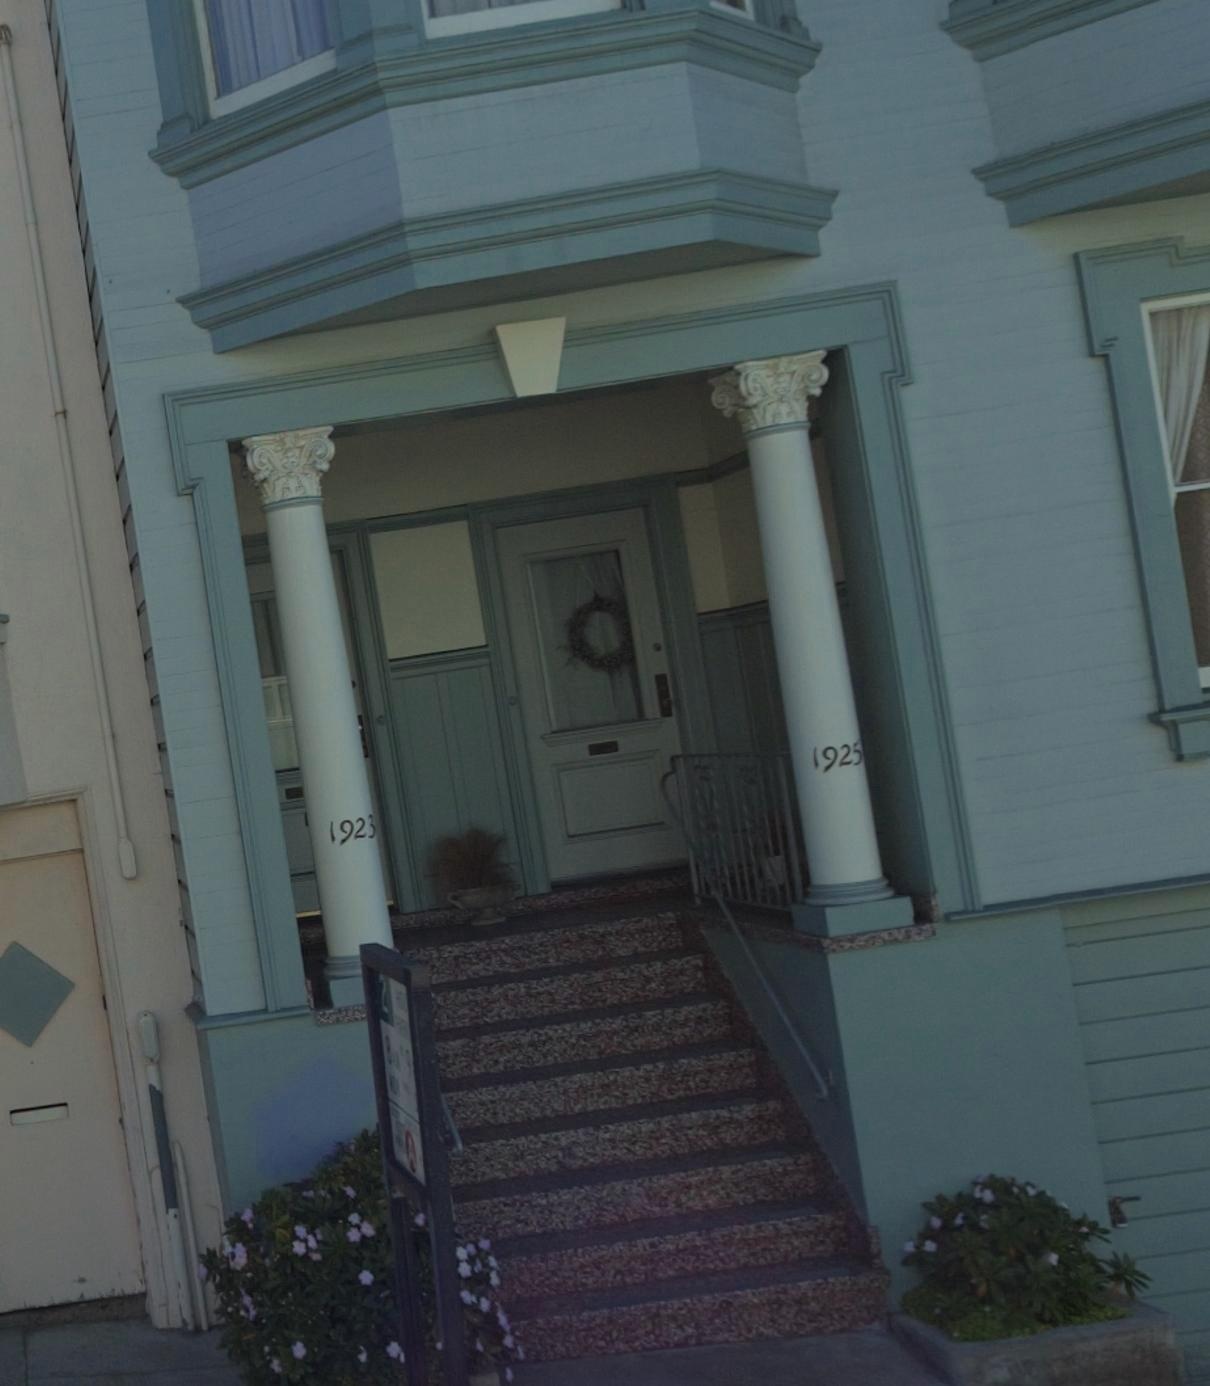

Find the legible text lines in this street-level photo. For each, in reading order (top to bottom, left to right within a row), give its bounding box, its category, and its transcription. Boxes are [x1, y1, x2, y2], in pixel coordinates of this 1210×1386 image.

[810, 738, 865, 776] StreetNumber: 1925
[327, 810, 380, 849] StreetNumber: 1923
[376, 970, 392, 1017] None: 2
[403, 1133, 418, 1177] None: A